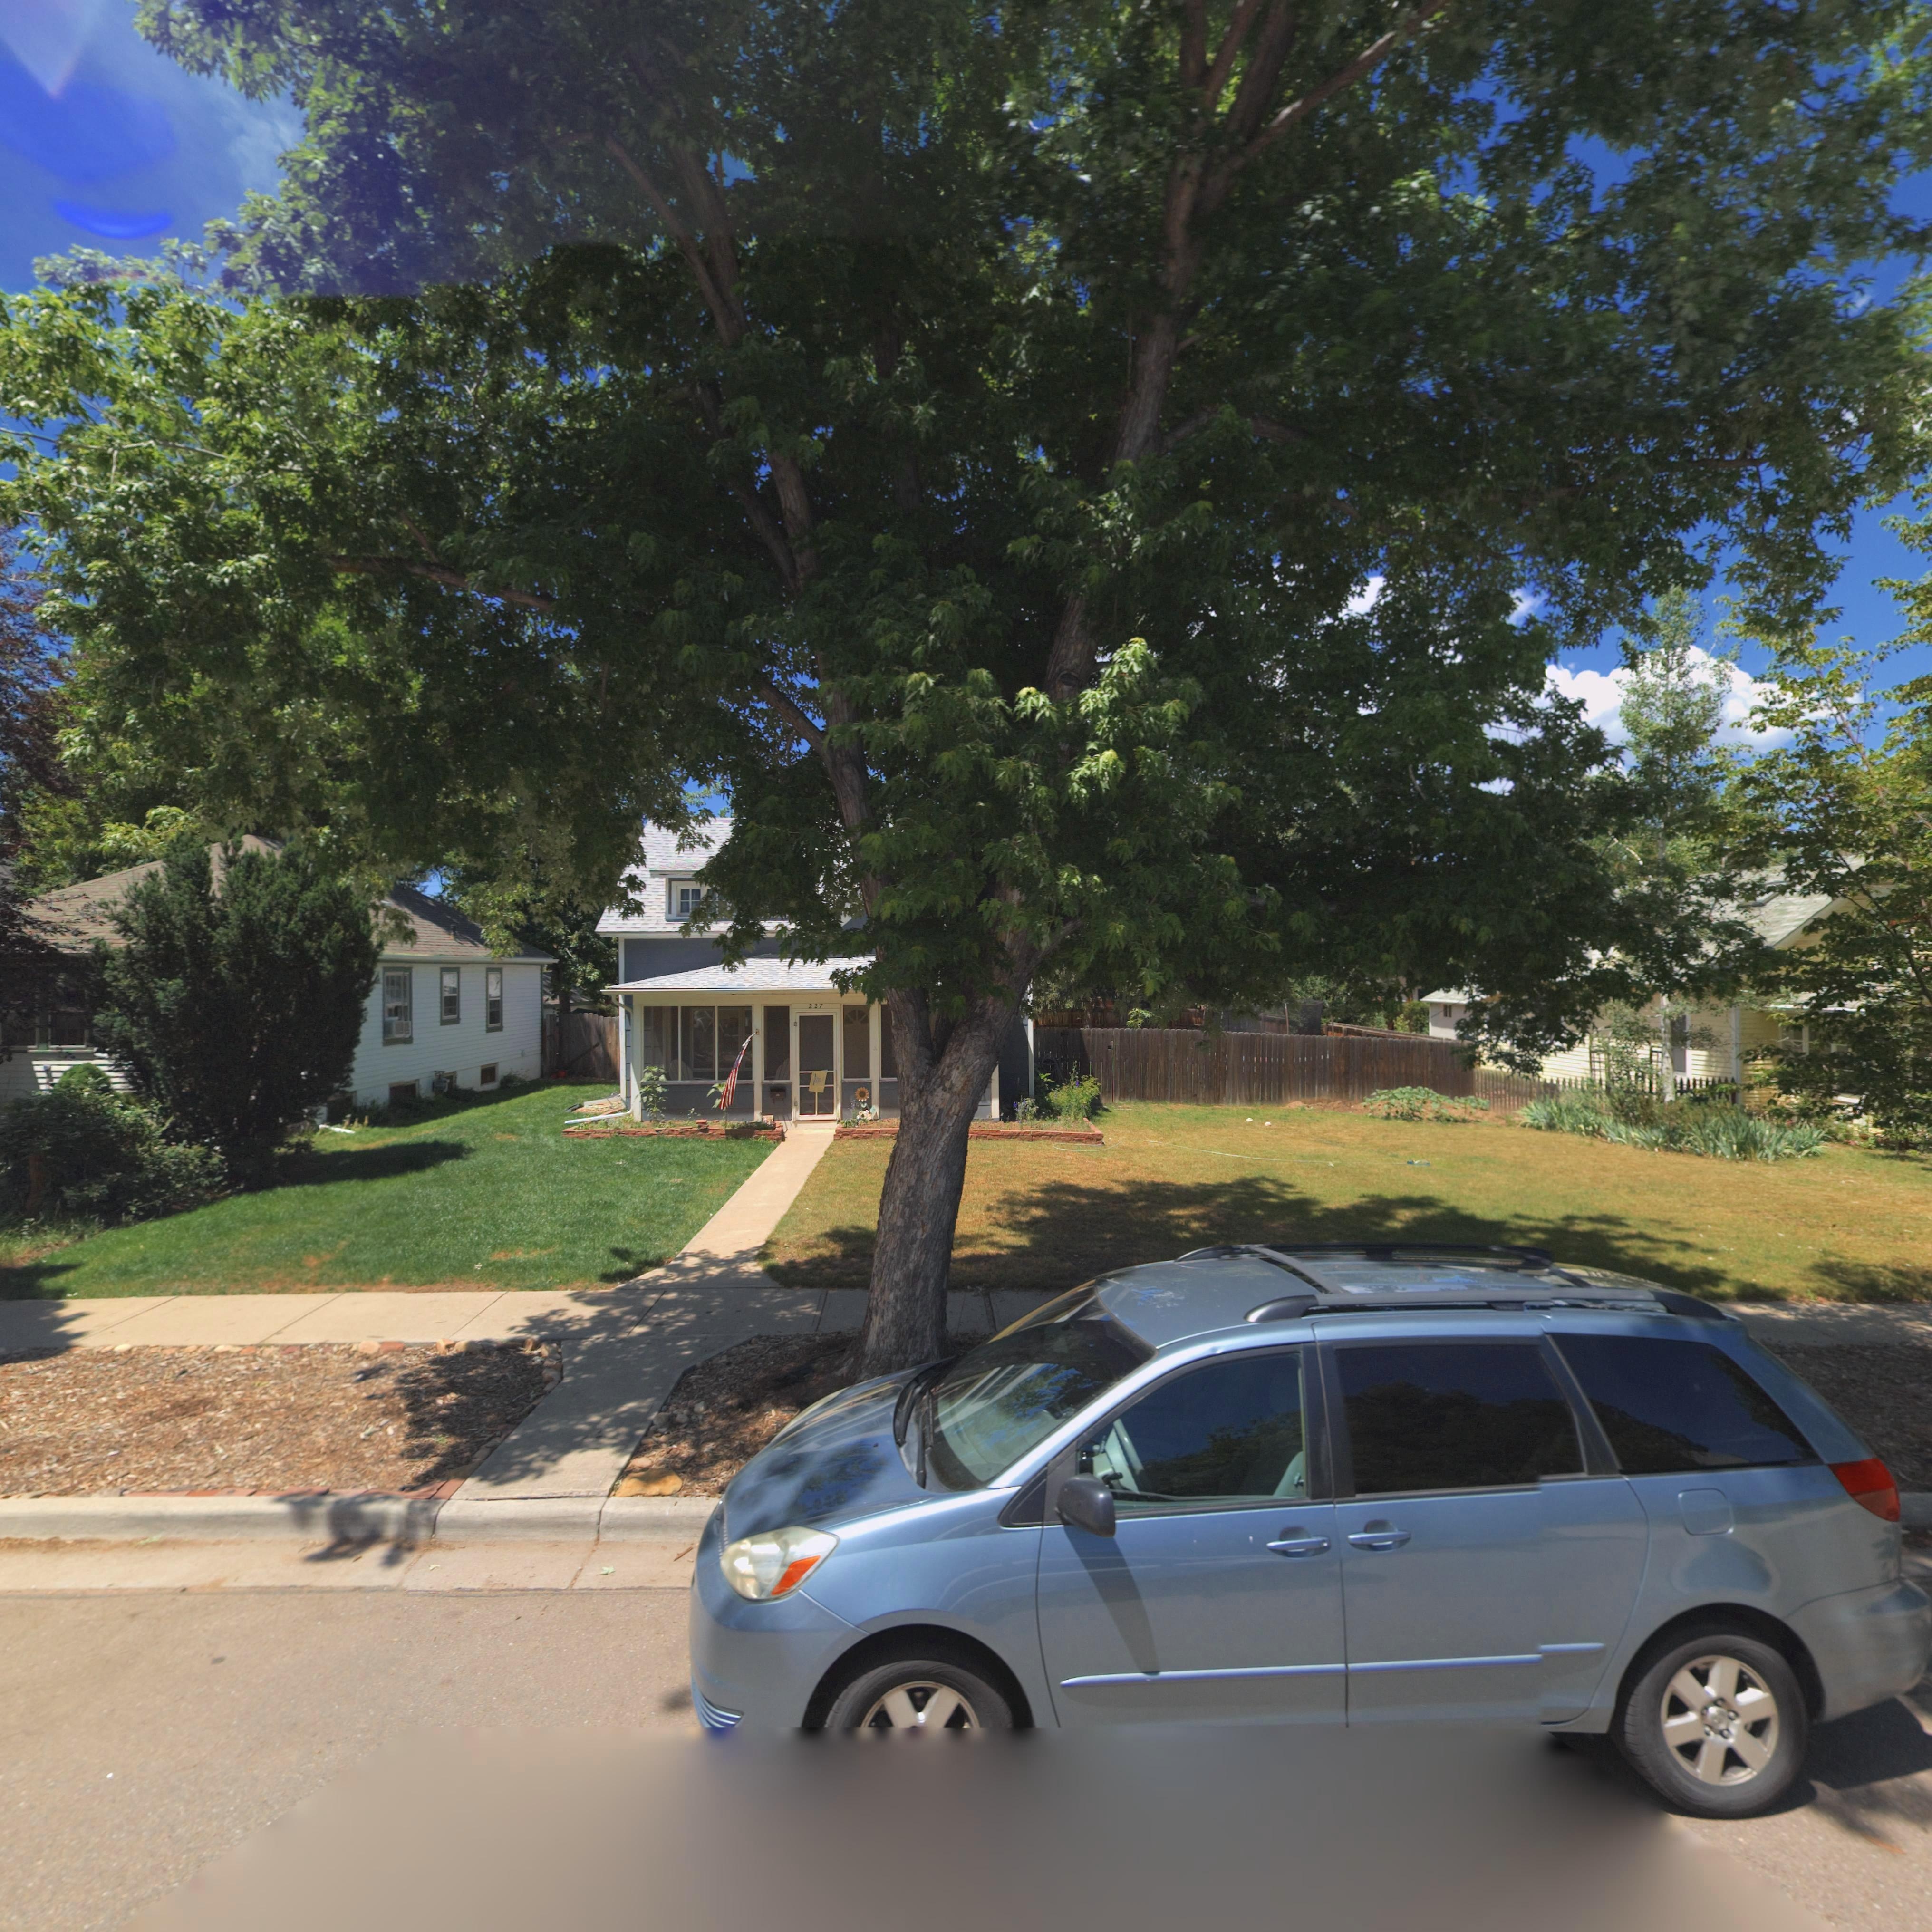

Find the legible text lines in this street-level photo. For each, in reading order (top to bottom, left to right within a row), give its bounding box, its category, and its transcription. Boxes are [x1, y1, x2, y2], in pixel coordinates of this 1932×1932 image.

[807, 1003, 823, 1008] StreetNumber: 227